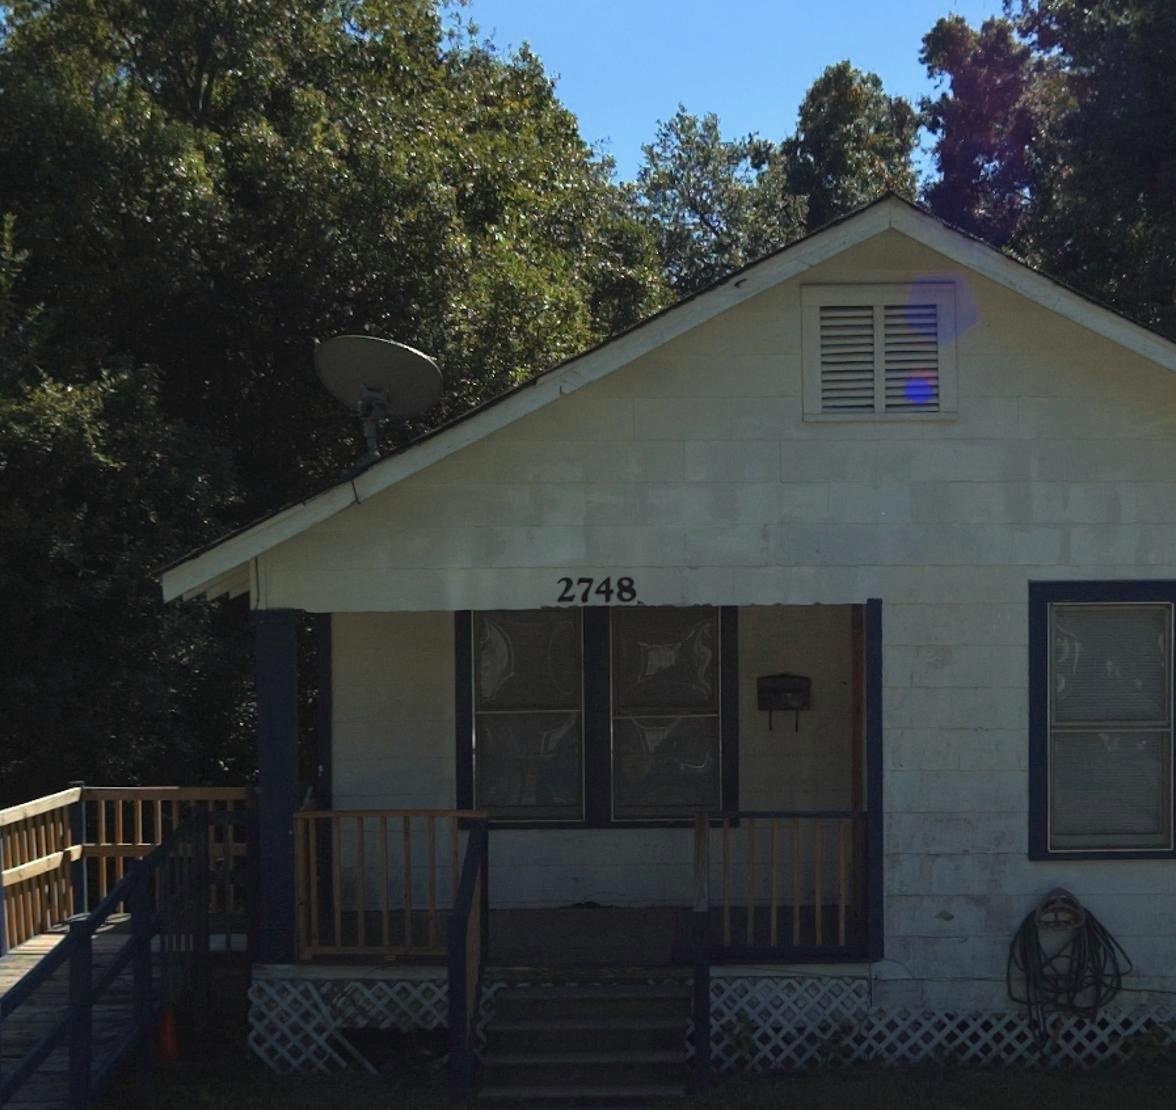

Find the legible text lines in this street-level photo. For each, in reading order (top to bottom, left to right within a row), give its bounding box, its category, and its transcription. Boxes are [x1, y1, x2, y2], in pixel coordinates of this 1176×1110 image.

[555, 575, 638, 604] StreetNumber: 2748